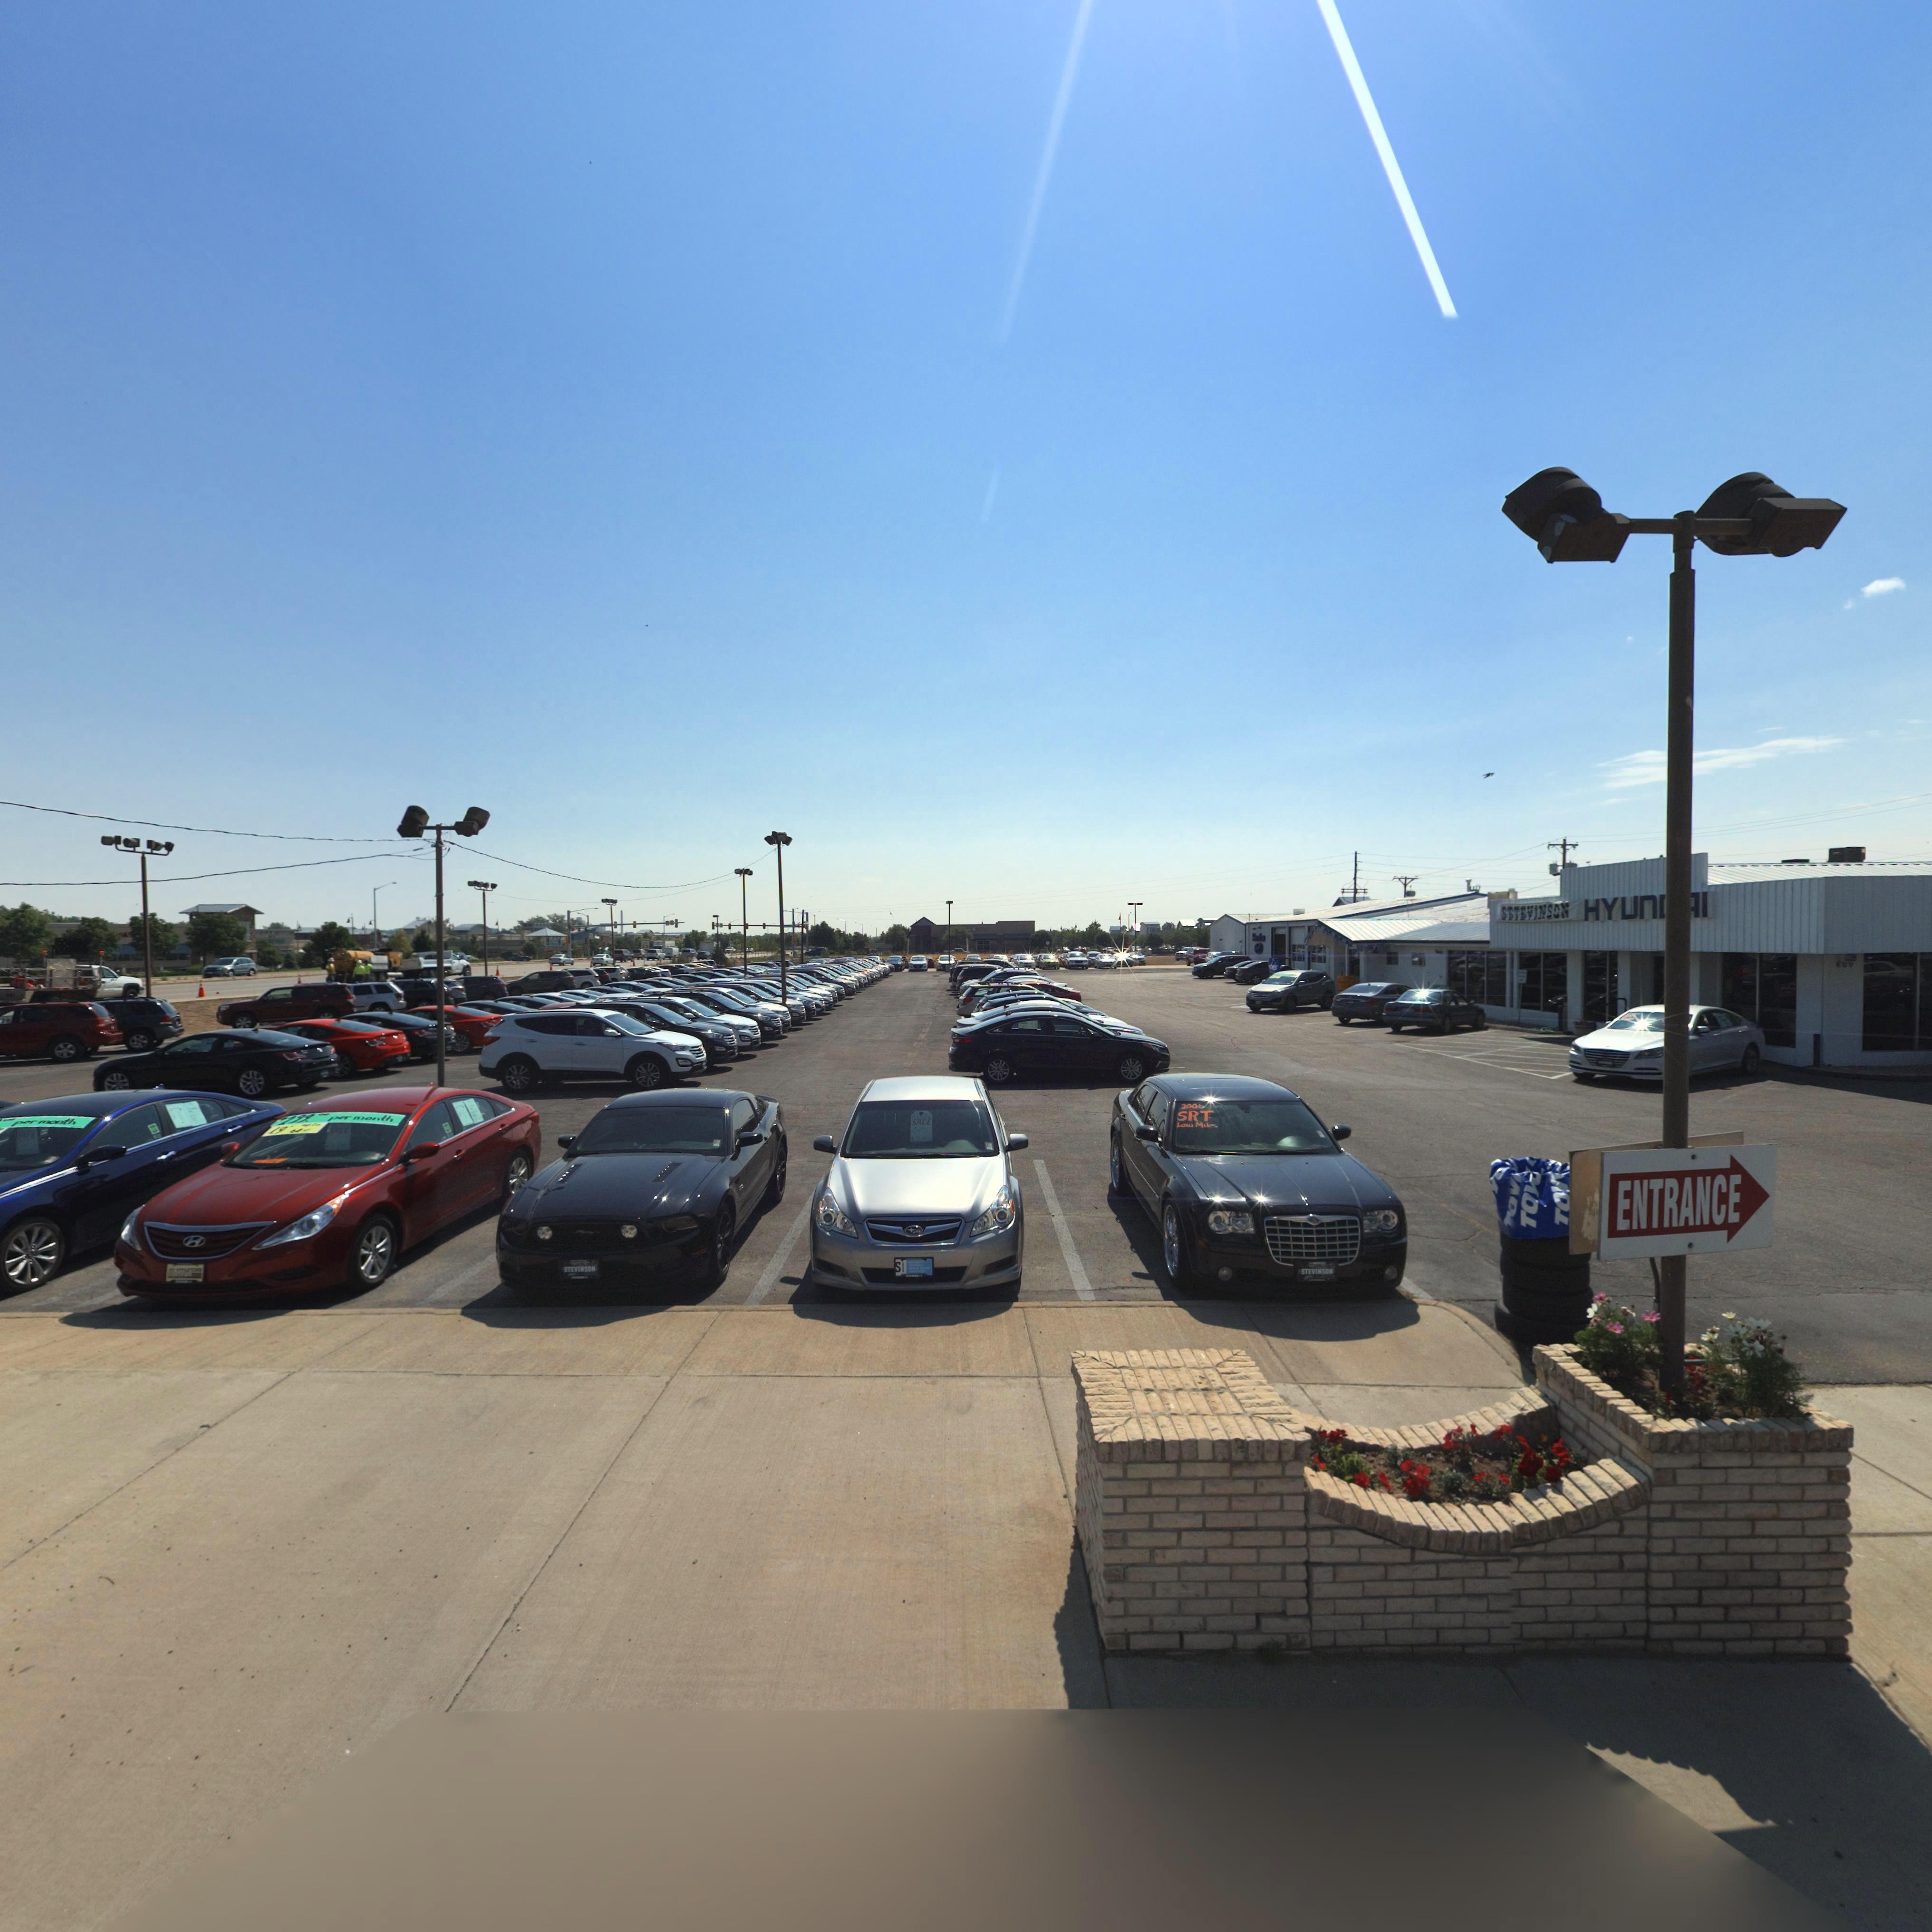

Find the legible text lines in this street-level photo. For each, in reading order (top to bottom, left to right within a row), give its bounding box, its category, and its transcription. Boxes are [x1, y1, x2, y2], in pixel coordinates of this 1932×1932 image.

[1501, 901, 1569, 921] BusinessName: STEVINSON
[1583, 890, 1709, 922] BusinessName: HYUn**I
[1835, 959, 1854, 968] StreetNumber: 6**